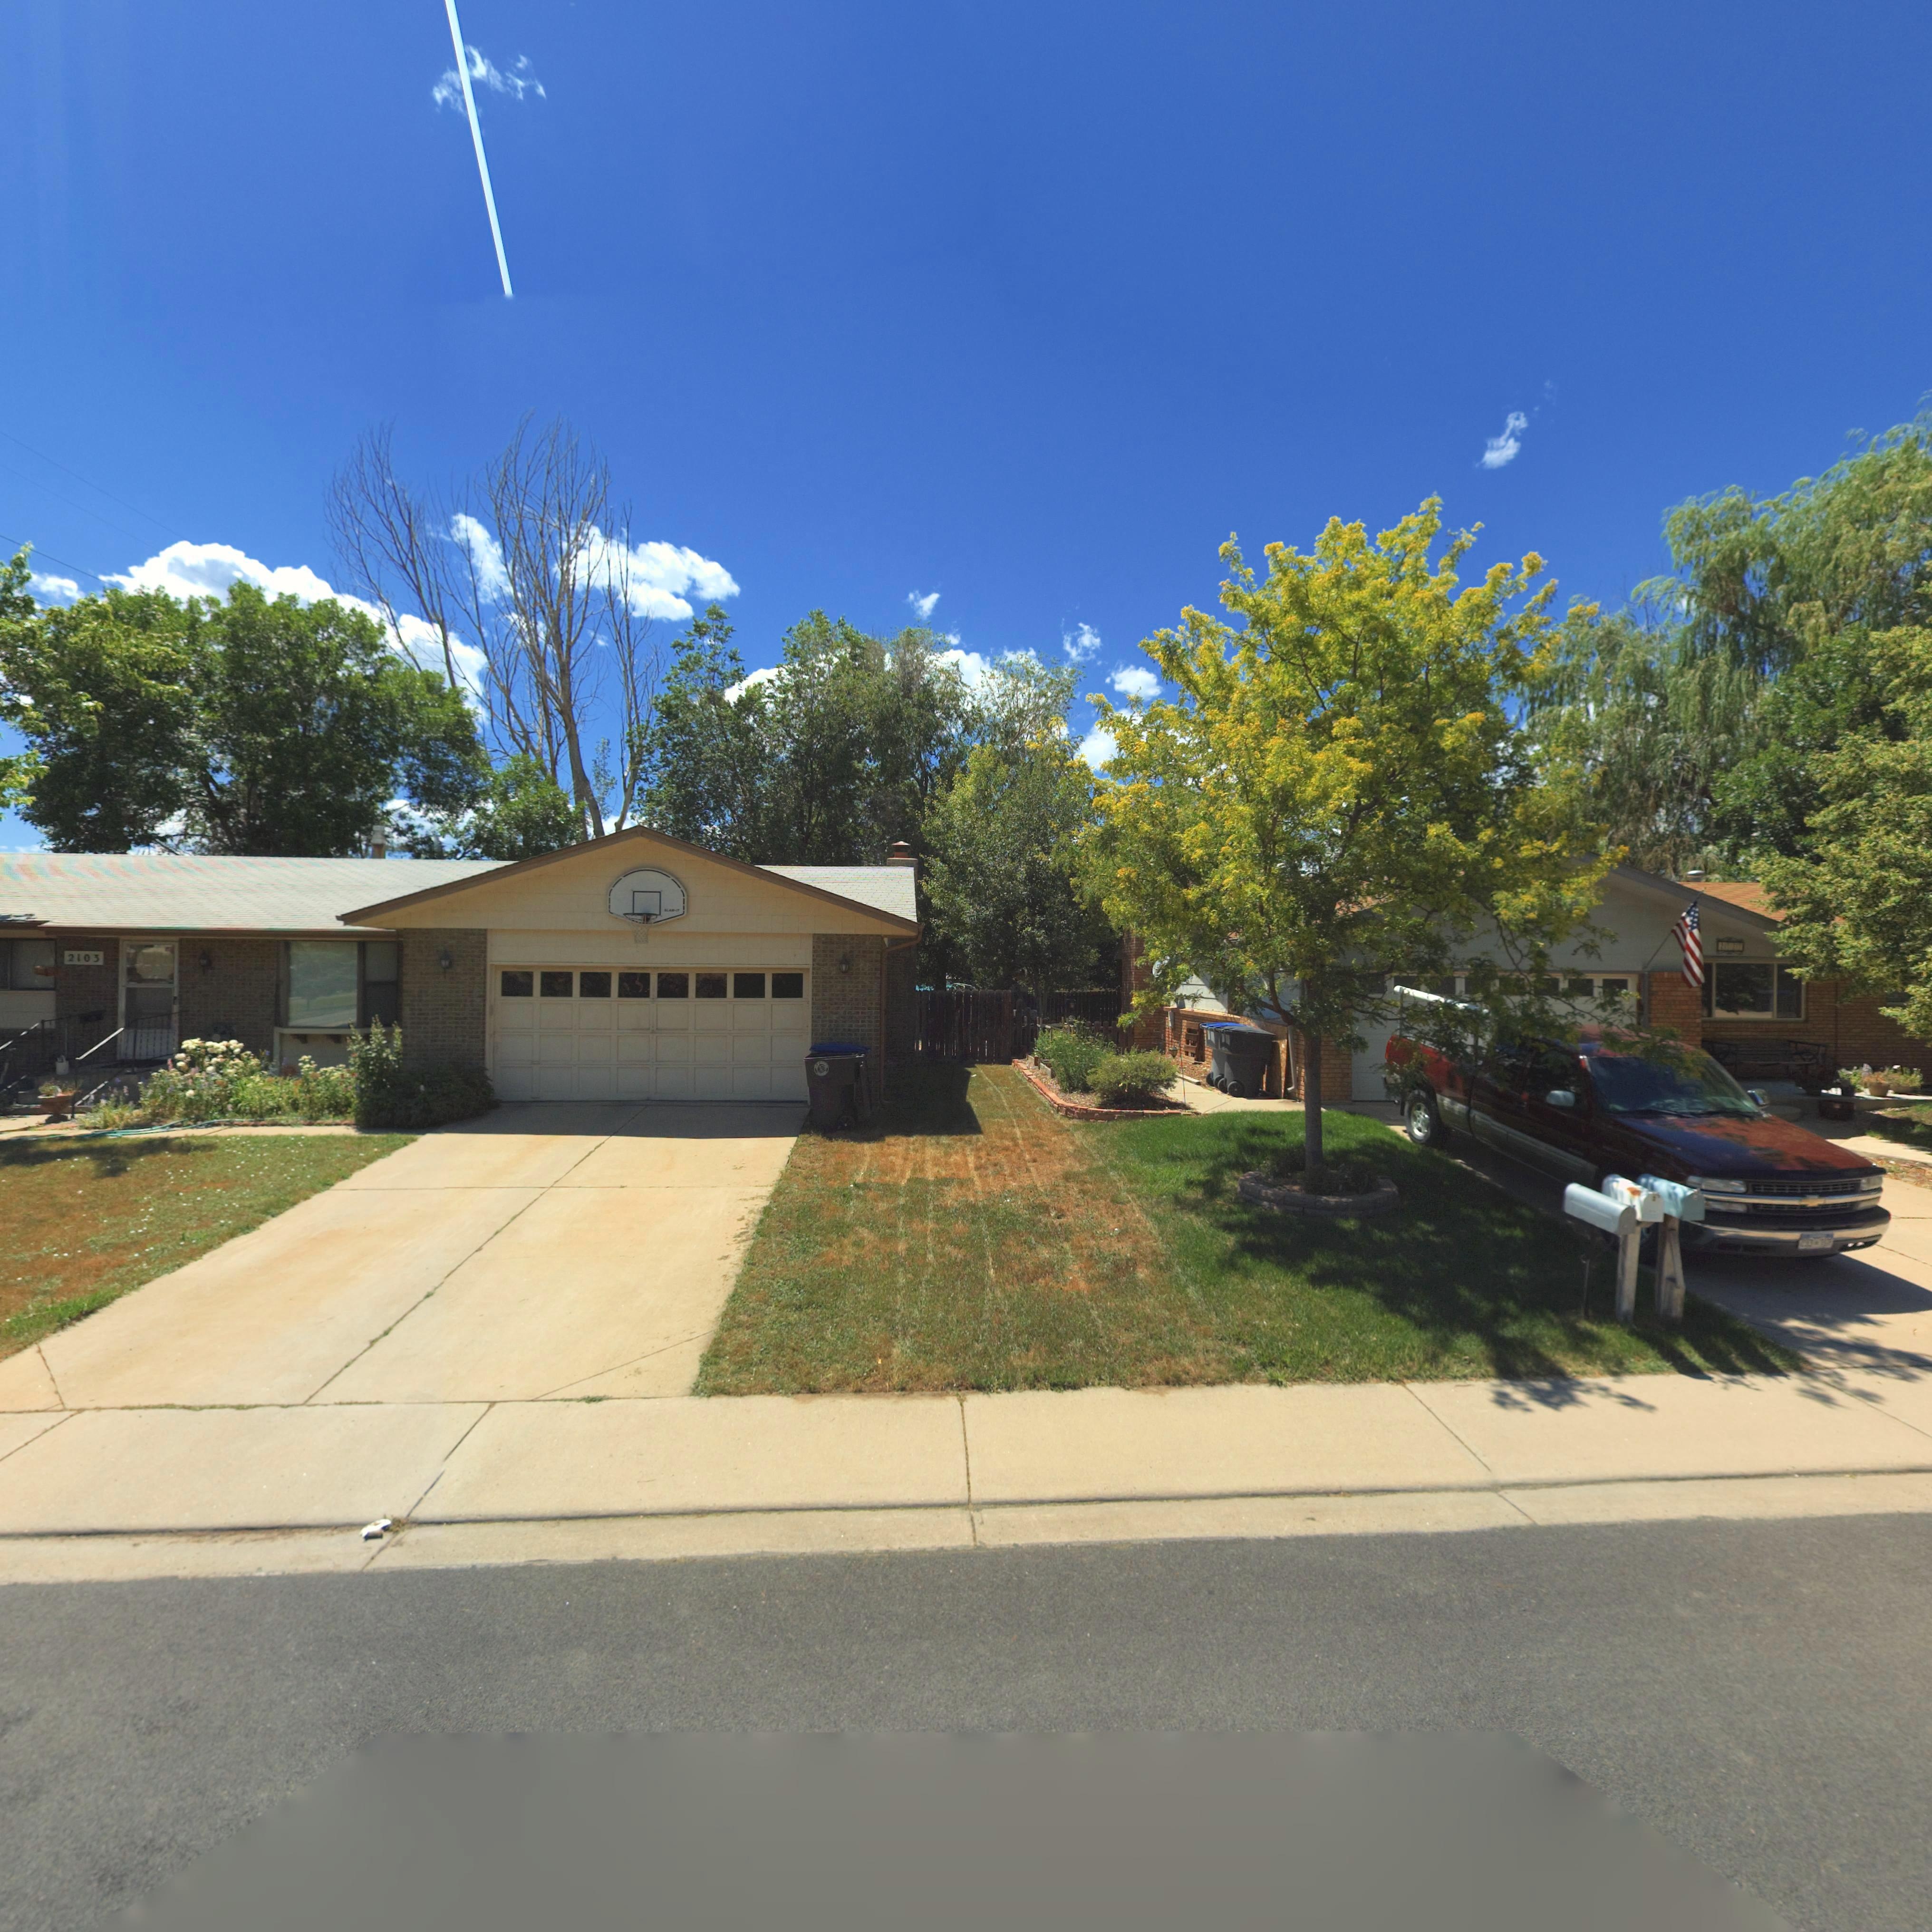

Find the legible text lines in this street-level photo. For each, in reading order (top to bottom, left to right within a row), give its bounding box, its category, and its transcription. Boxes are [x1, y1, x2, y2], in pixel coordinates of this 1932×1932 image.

[1719, 942, 1741, 950] StreetNumber: 2***
[67, 954, 99, 963] StreetNumber: 2103